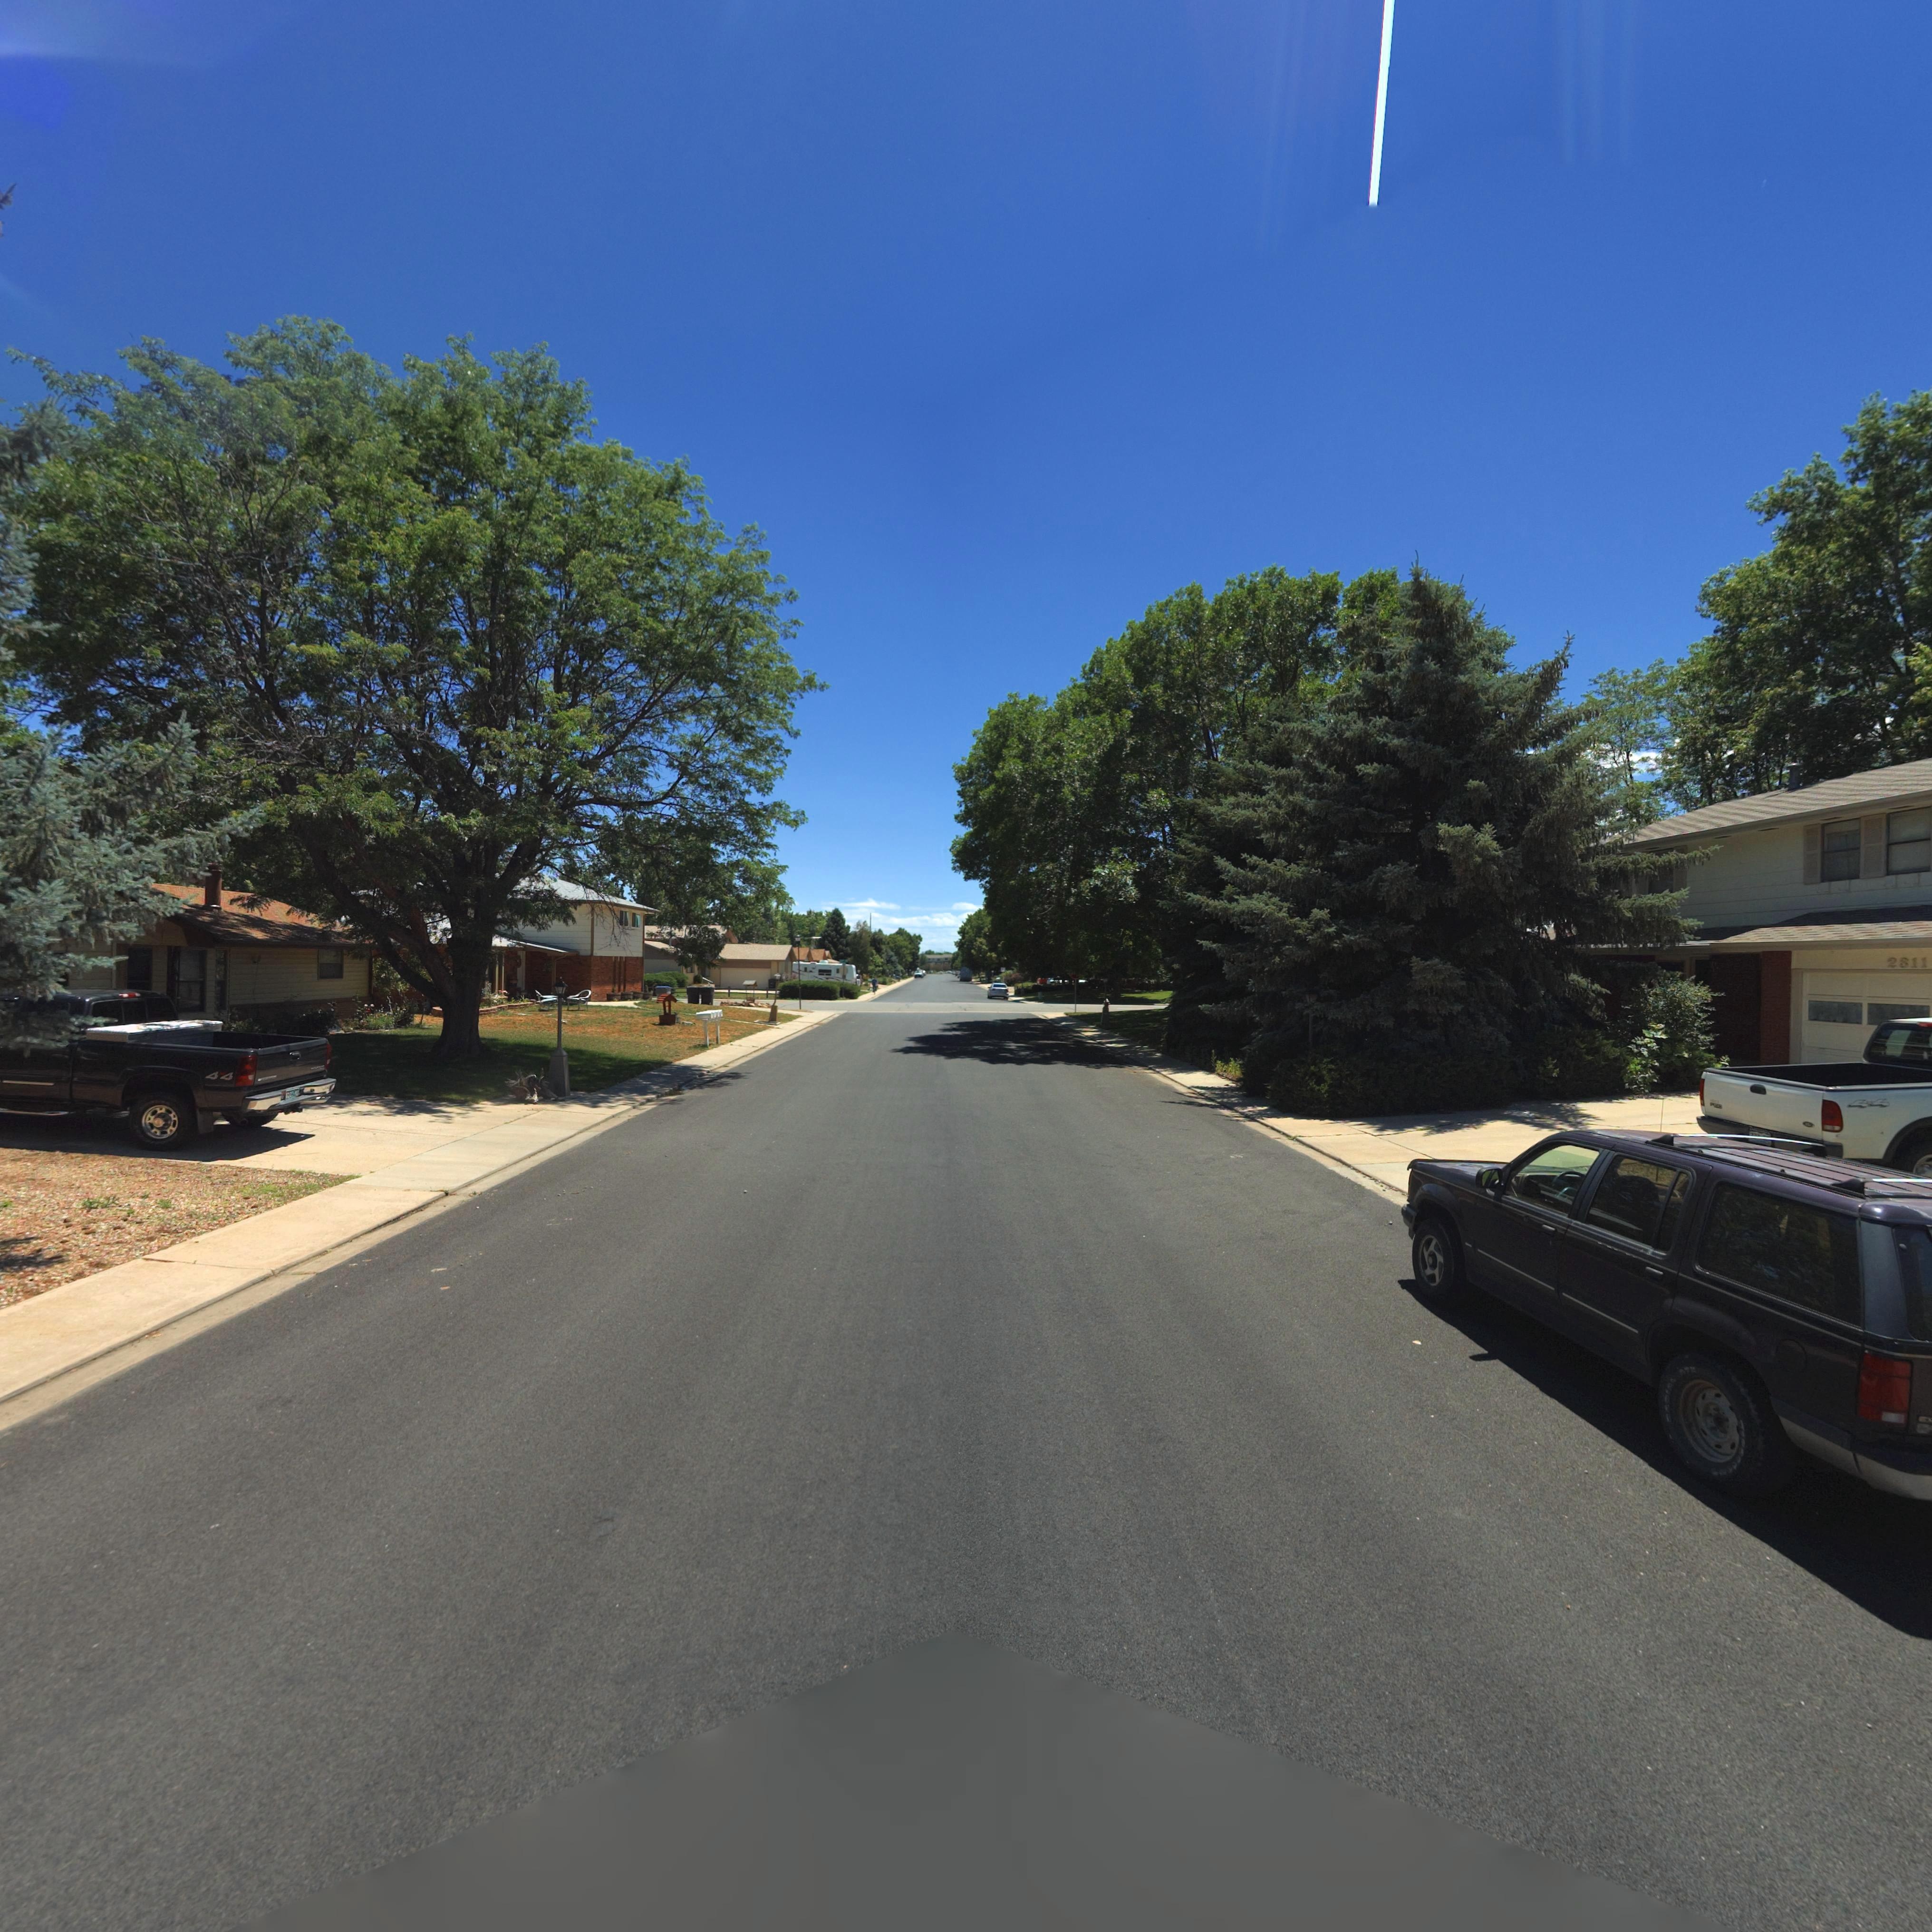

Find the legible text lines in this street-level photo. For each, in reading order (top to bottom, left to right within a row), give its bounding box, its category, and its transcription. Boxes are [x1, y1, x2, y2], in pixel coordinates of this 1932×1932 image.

[1886, 957, 1926, 968] StreetNumber: 2311